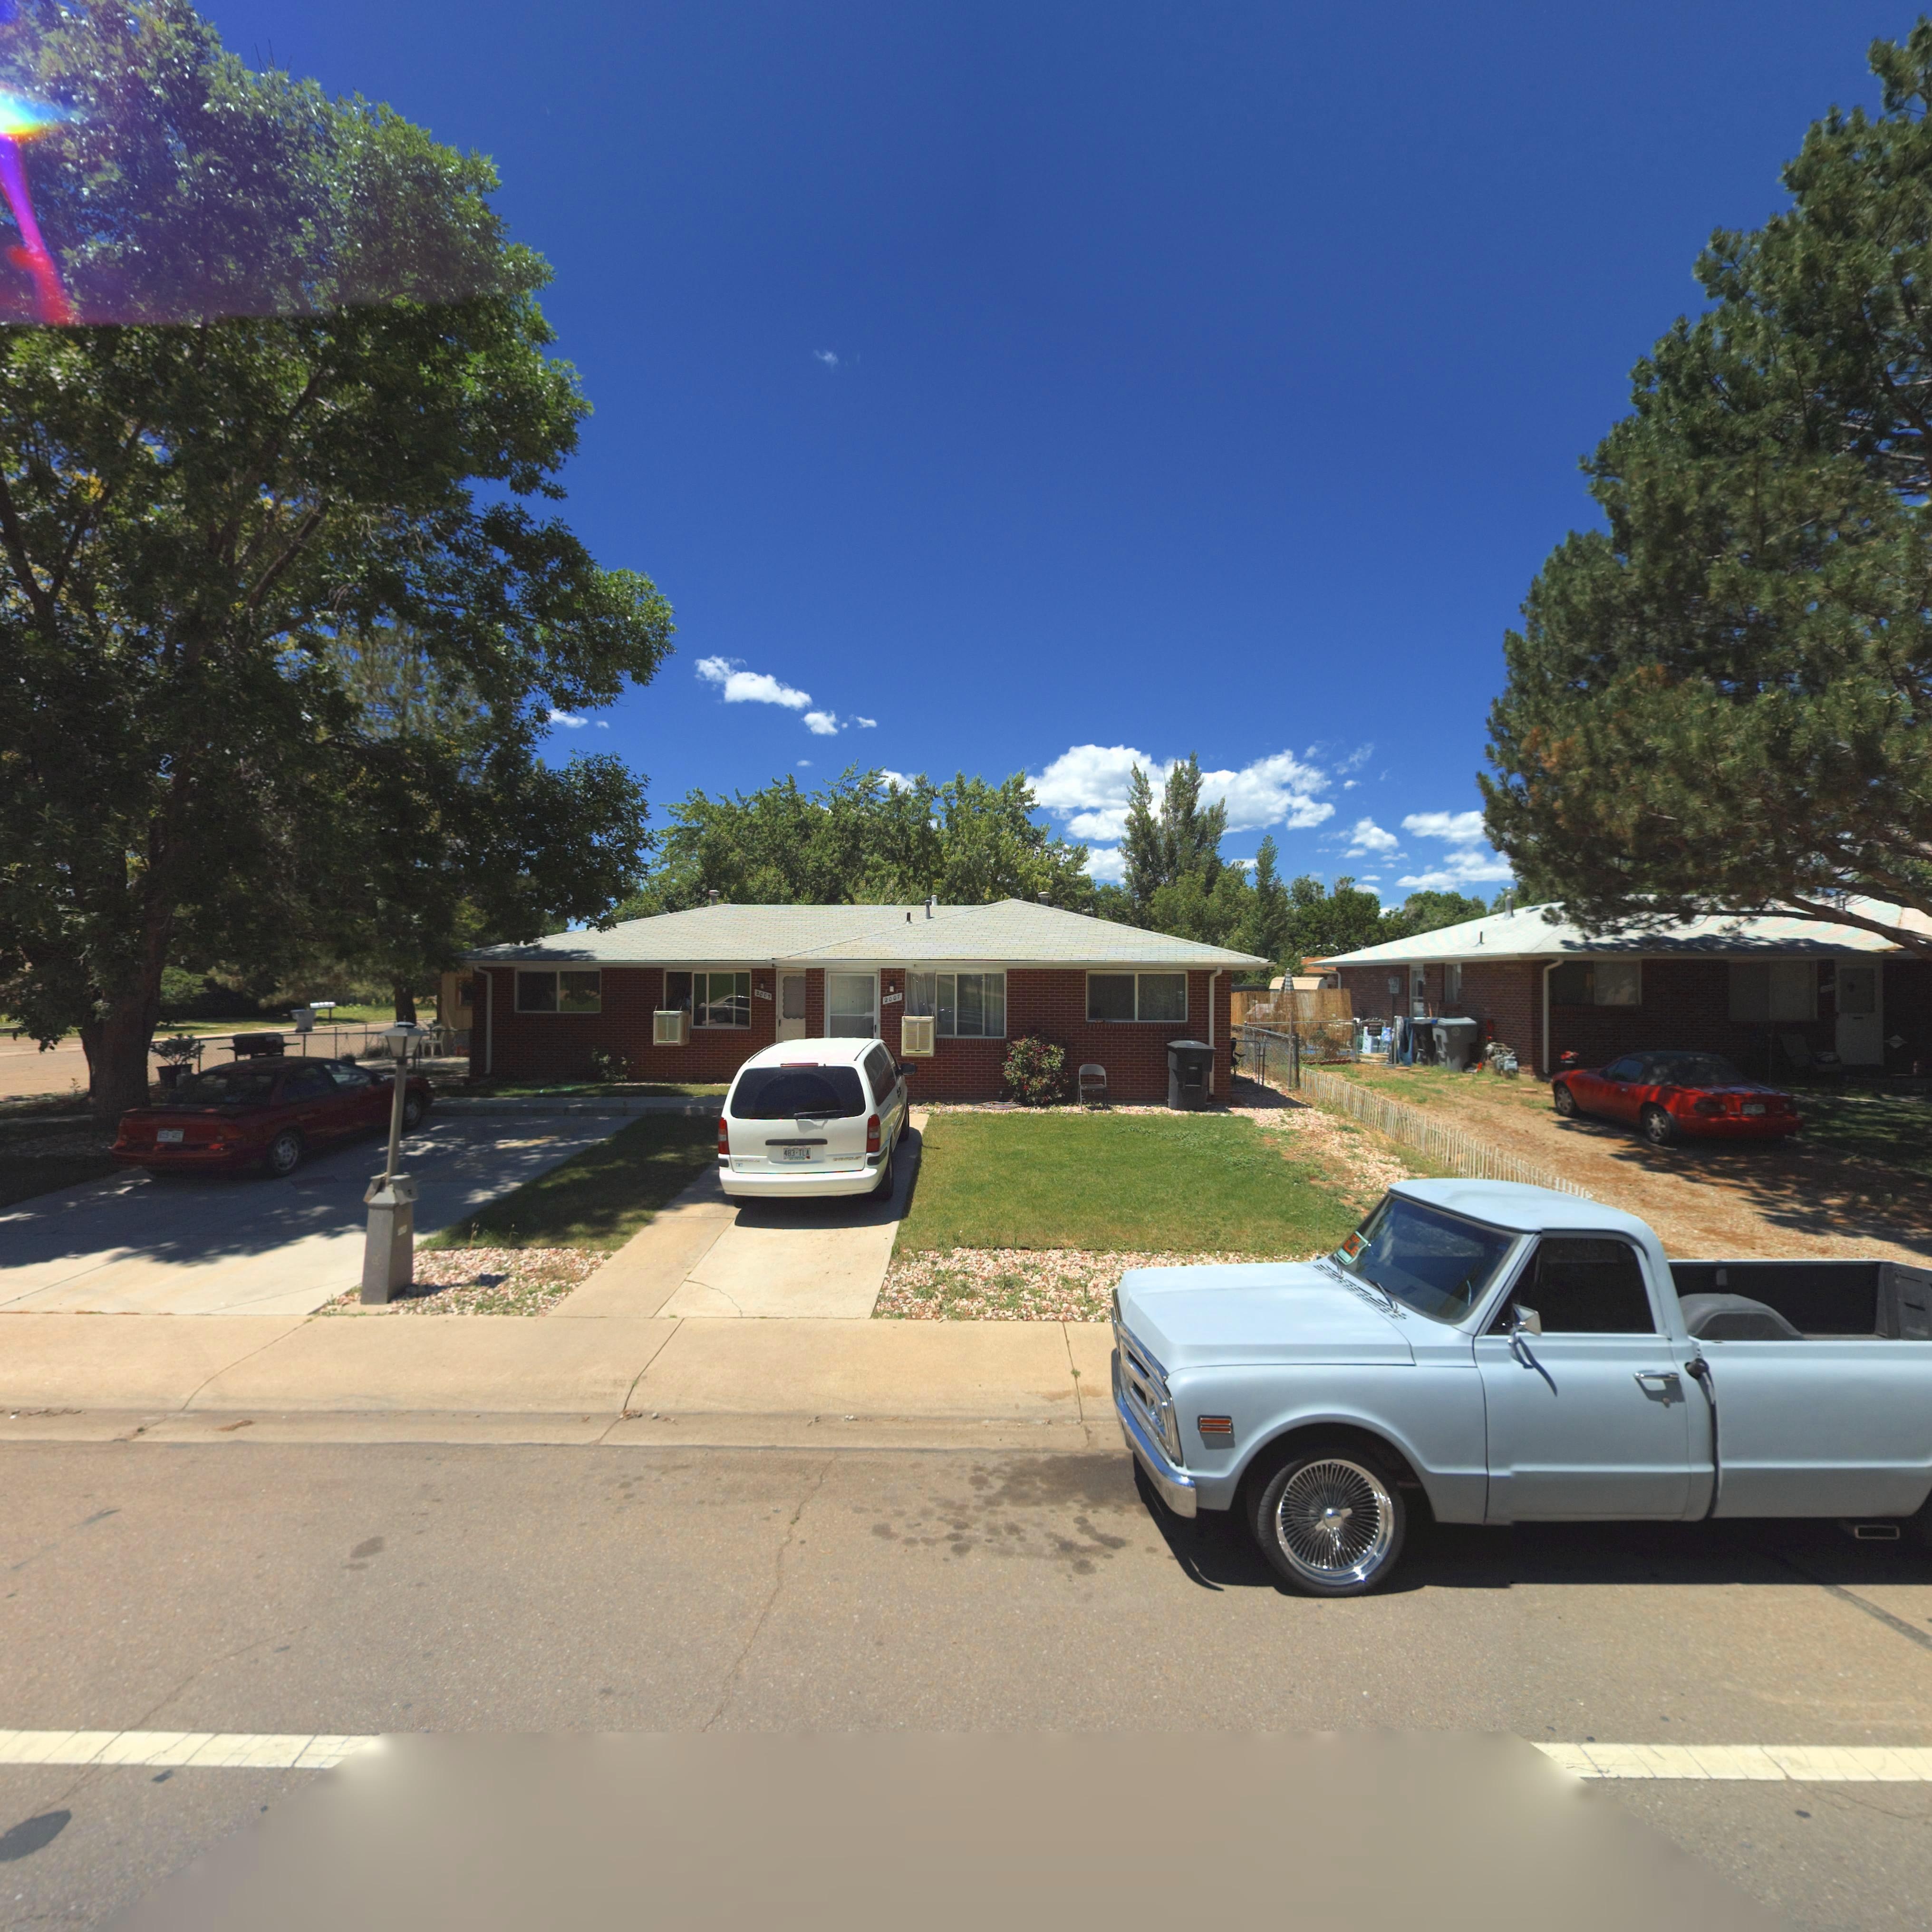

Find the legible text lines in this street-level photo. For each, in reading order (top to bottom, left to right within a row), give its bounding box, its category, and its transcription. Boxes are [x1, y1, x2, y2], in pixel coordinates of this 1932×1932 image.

[755, 990, 771, 999] StreetNumber: 2005
[884, 993, 900, 1003] StreetNumber: 2007